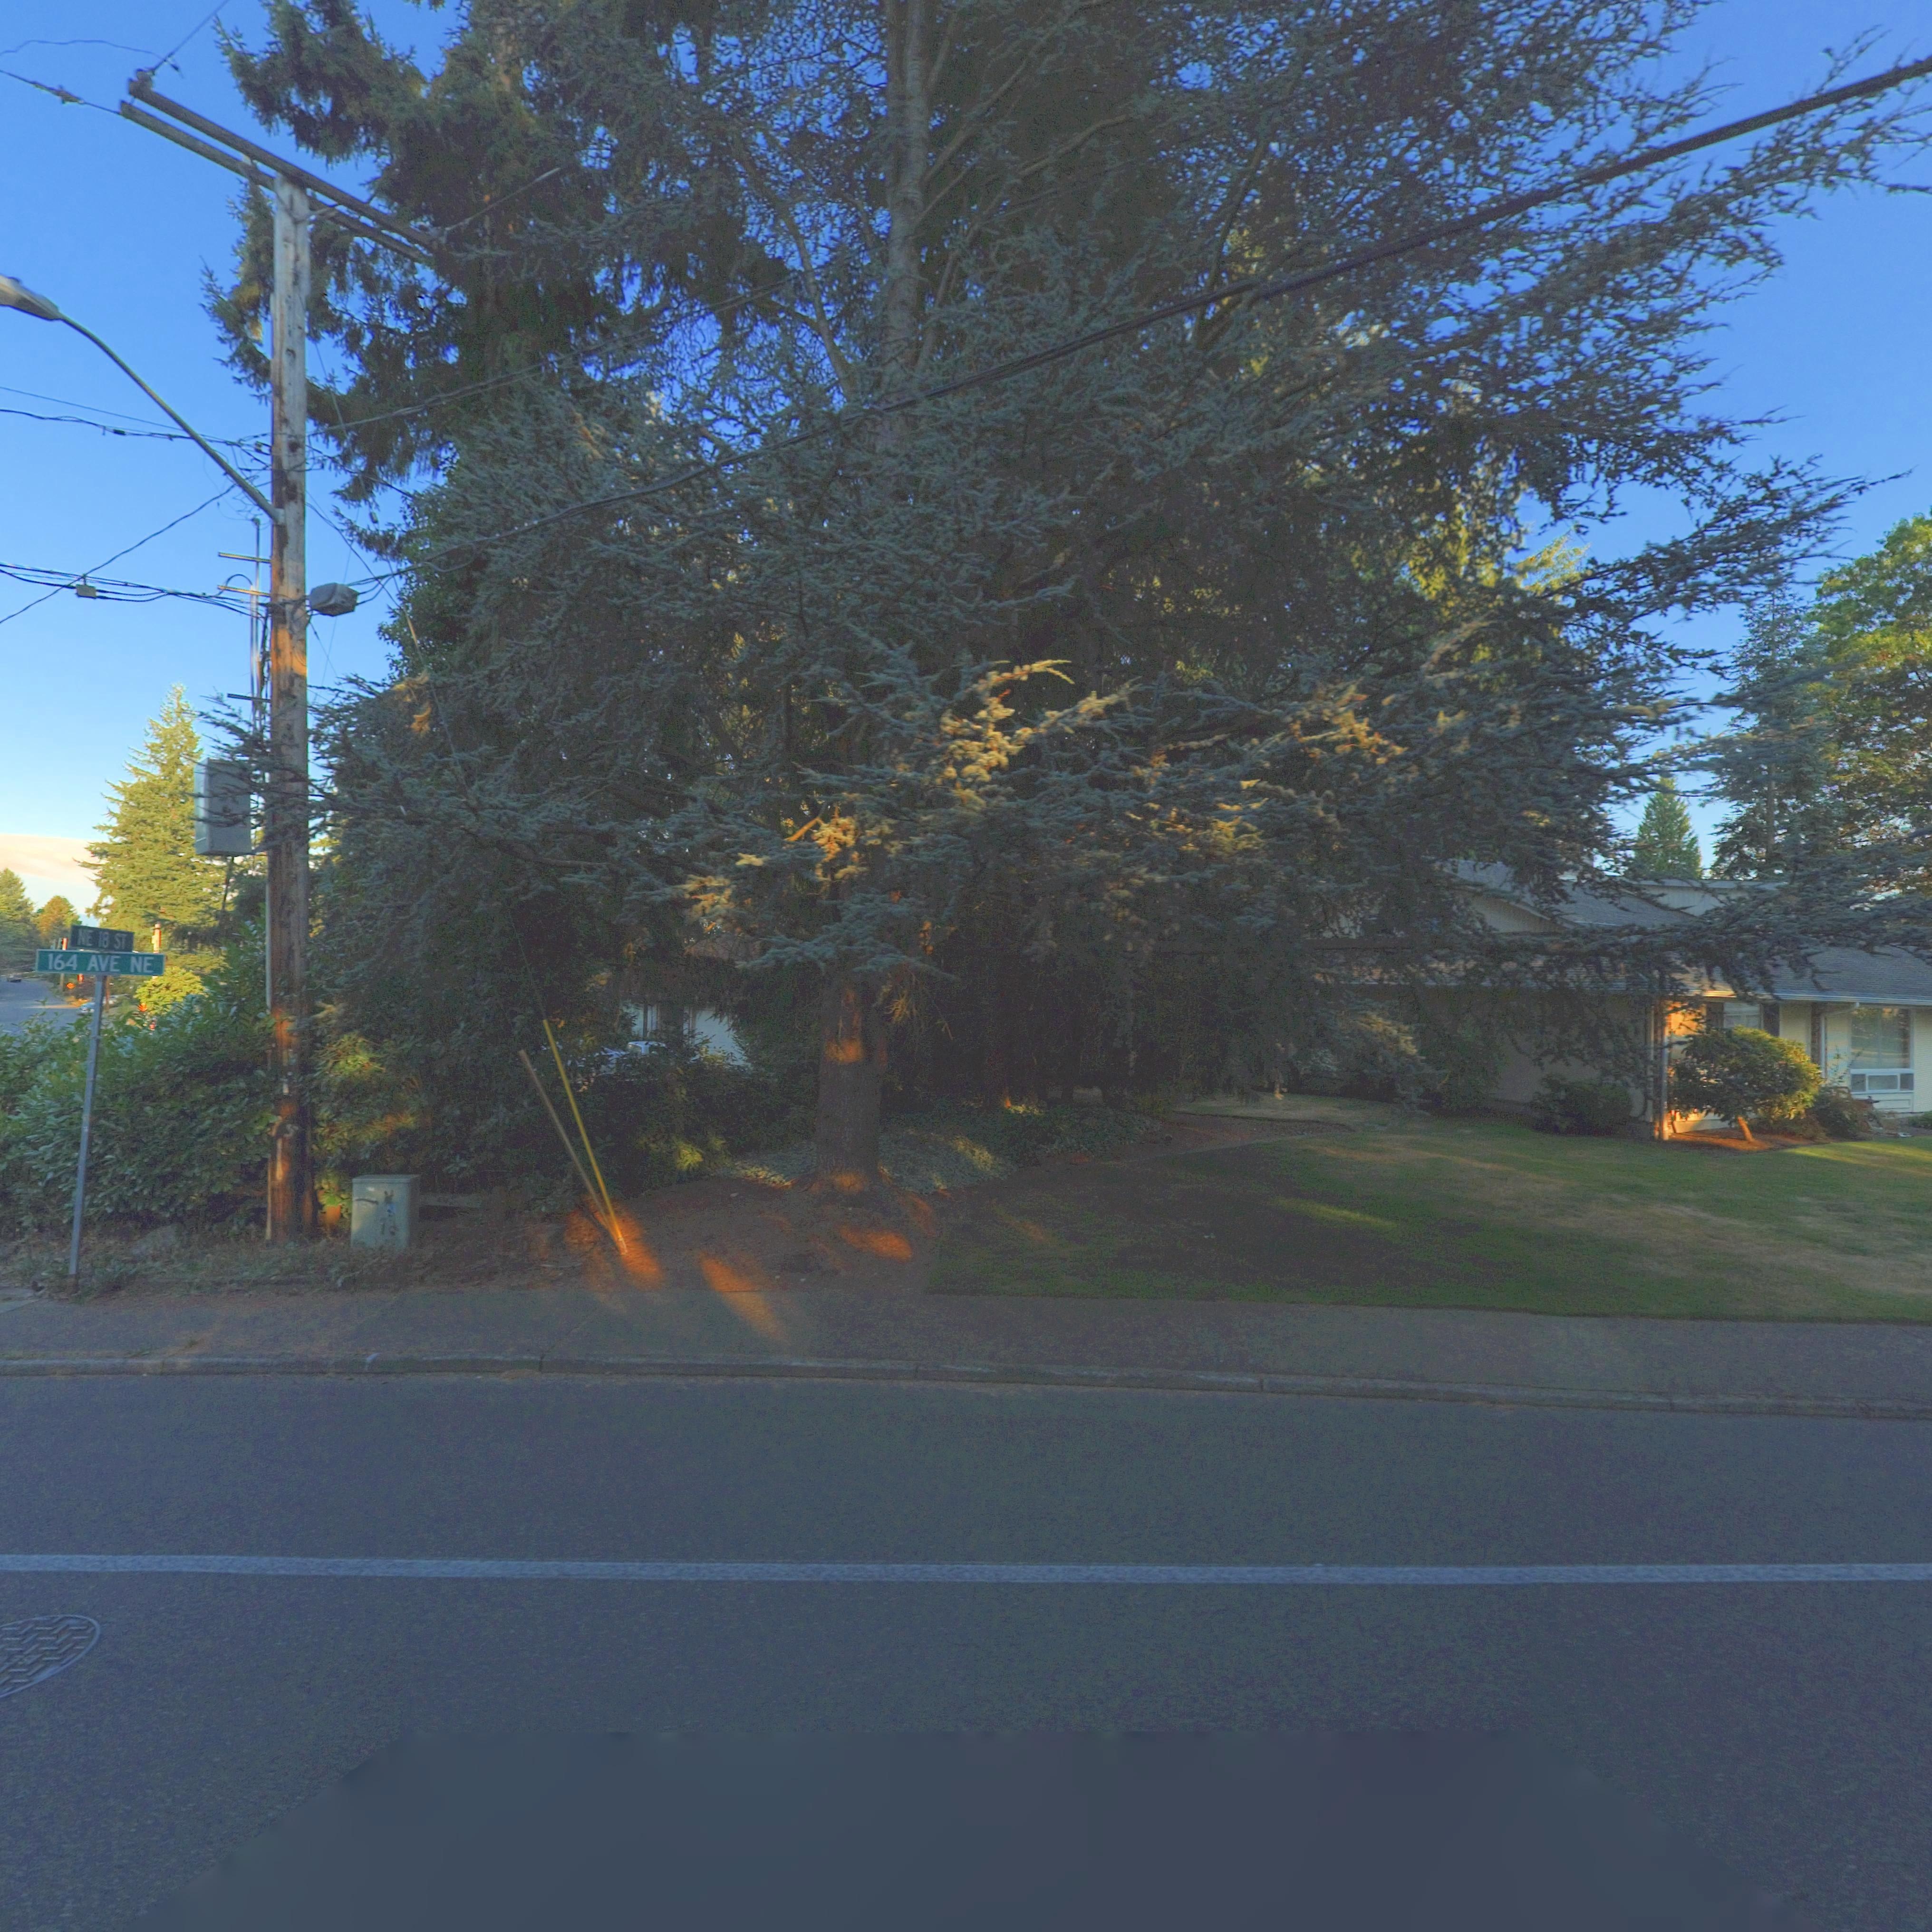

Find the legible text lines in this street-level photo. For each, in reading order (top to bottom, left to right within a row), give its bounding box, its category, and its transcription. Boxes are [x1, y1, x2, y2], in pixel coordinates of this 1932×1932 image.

[73, 929, 129, 951] StreetName: NE 18 ST
[46, 953, 155, 972] StreetName: 164 AVE NE